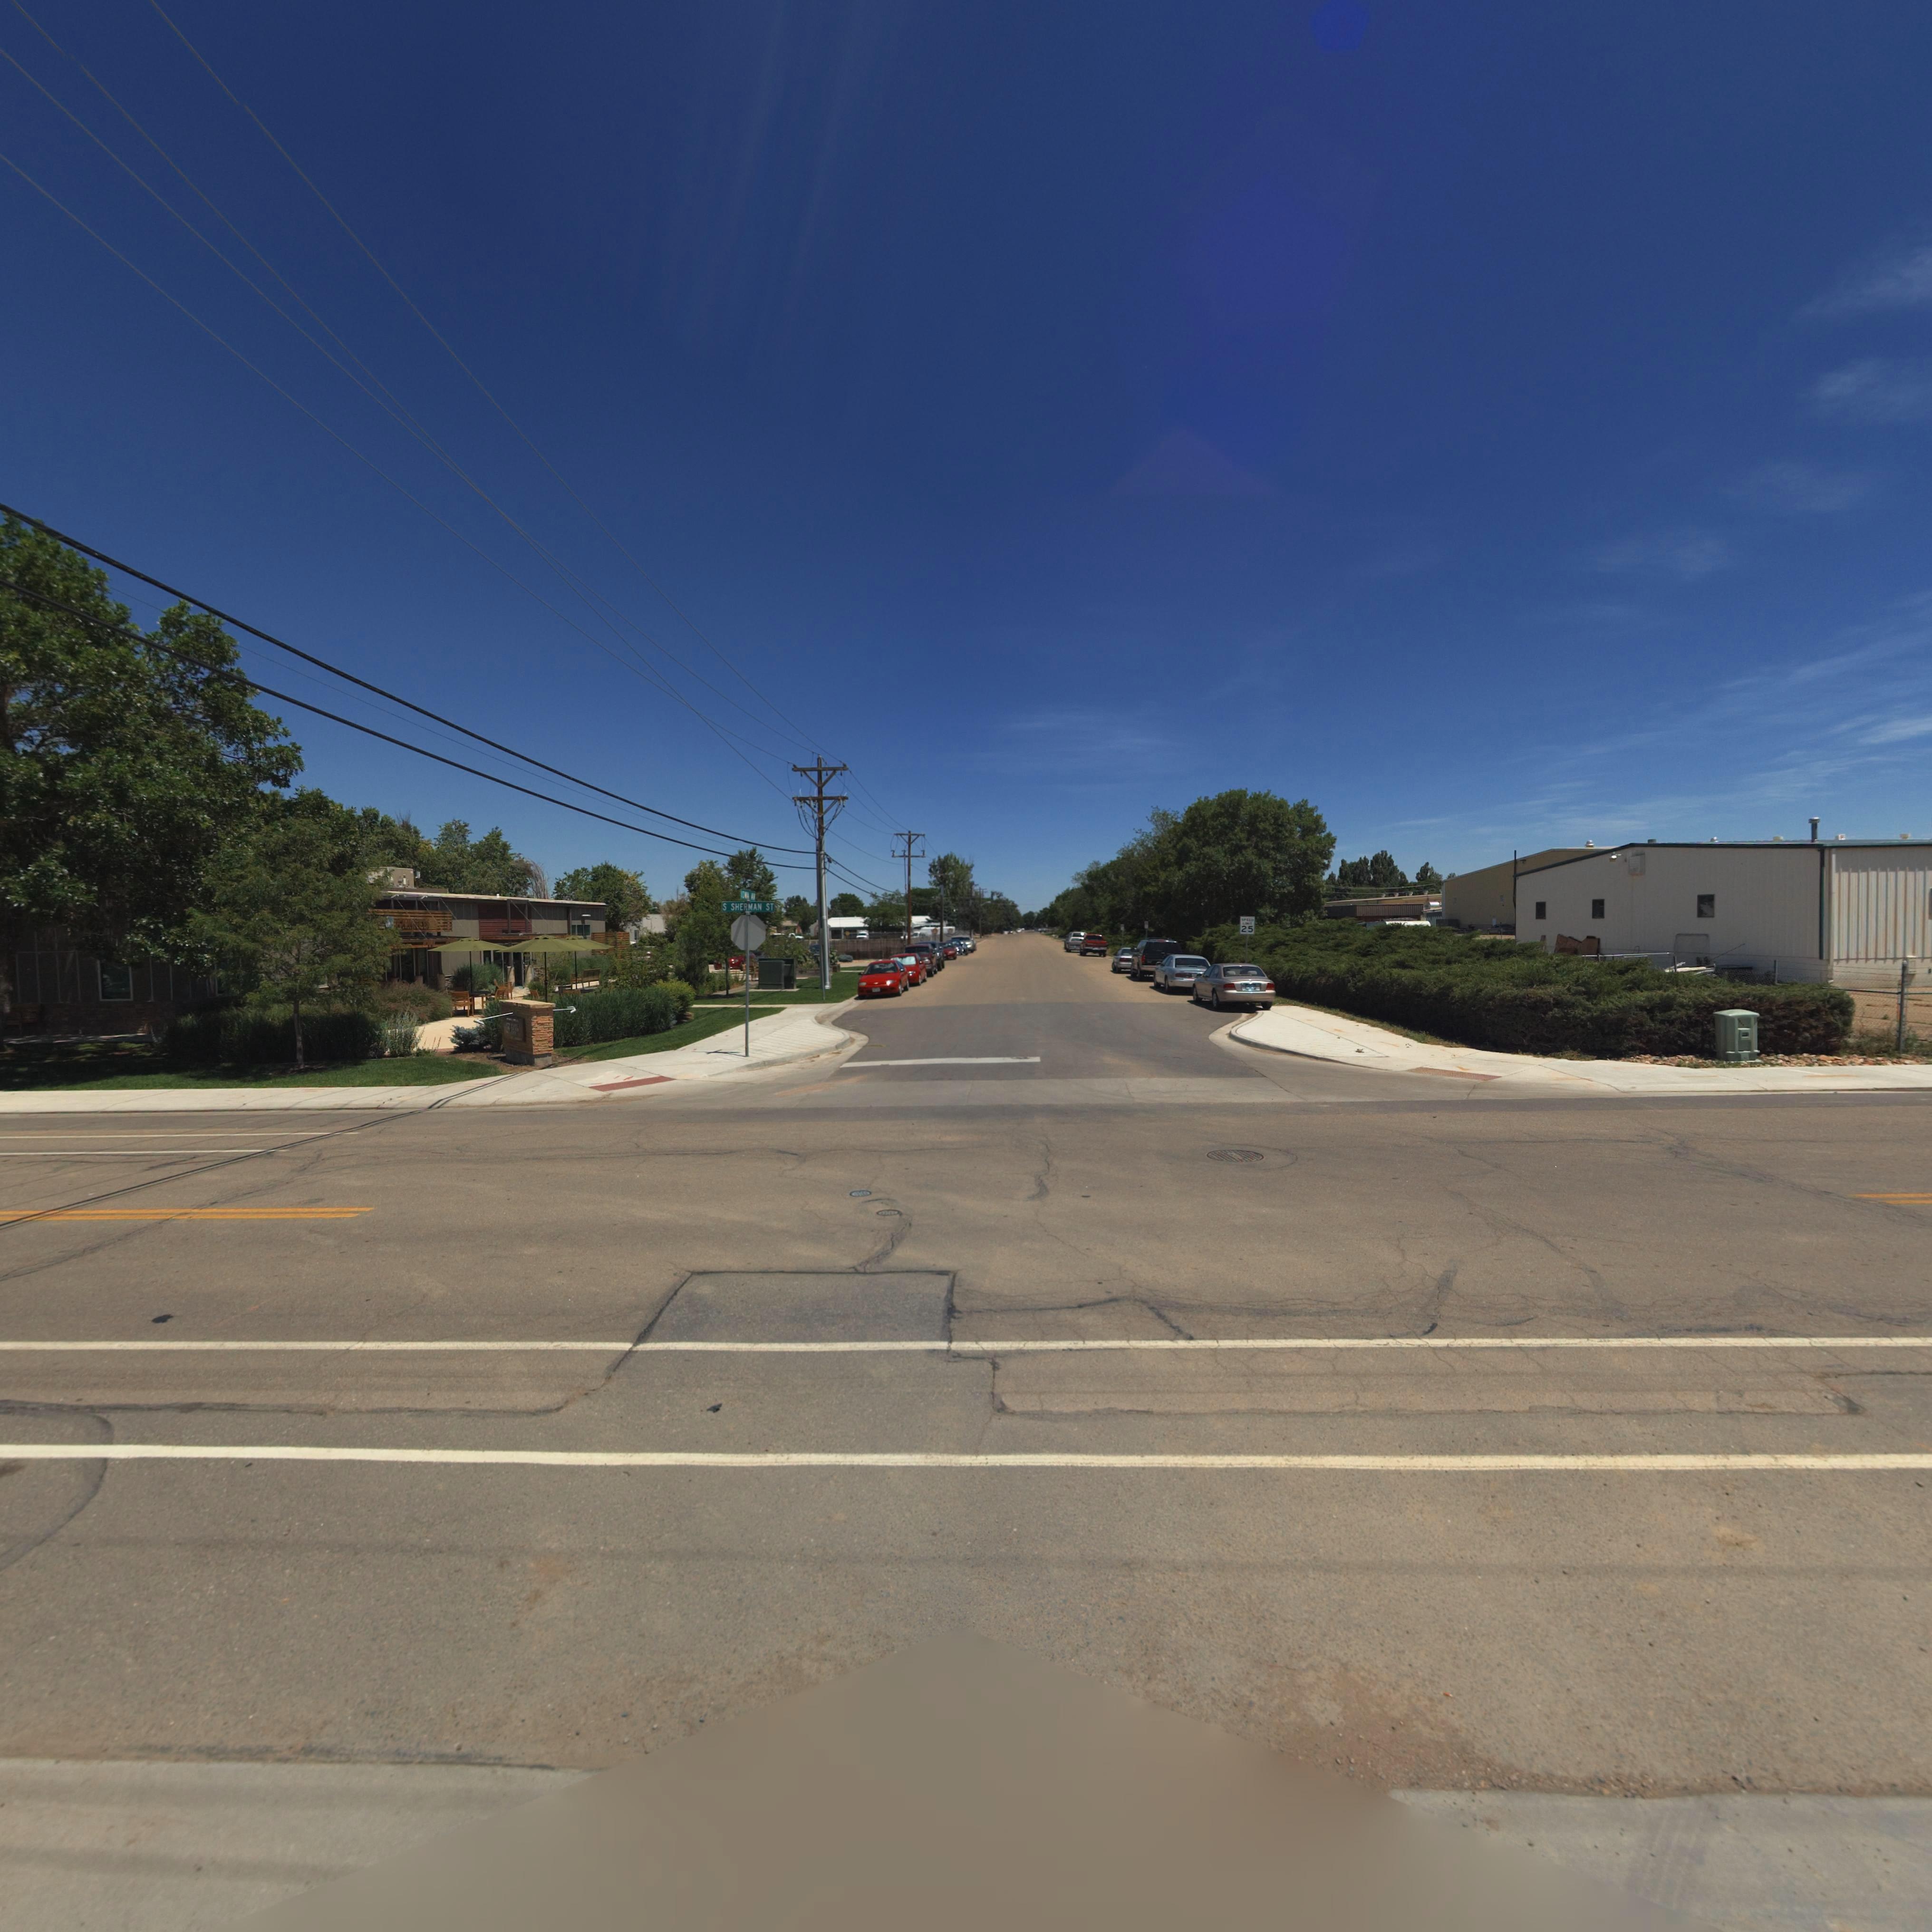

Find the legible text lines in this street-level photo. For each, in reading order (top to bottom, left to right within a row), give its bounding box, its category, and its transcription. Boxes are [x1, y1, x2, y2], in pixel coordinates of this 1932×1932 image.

[723, 903, 773, 910] StreetName: S SHE vAN ST